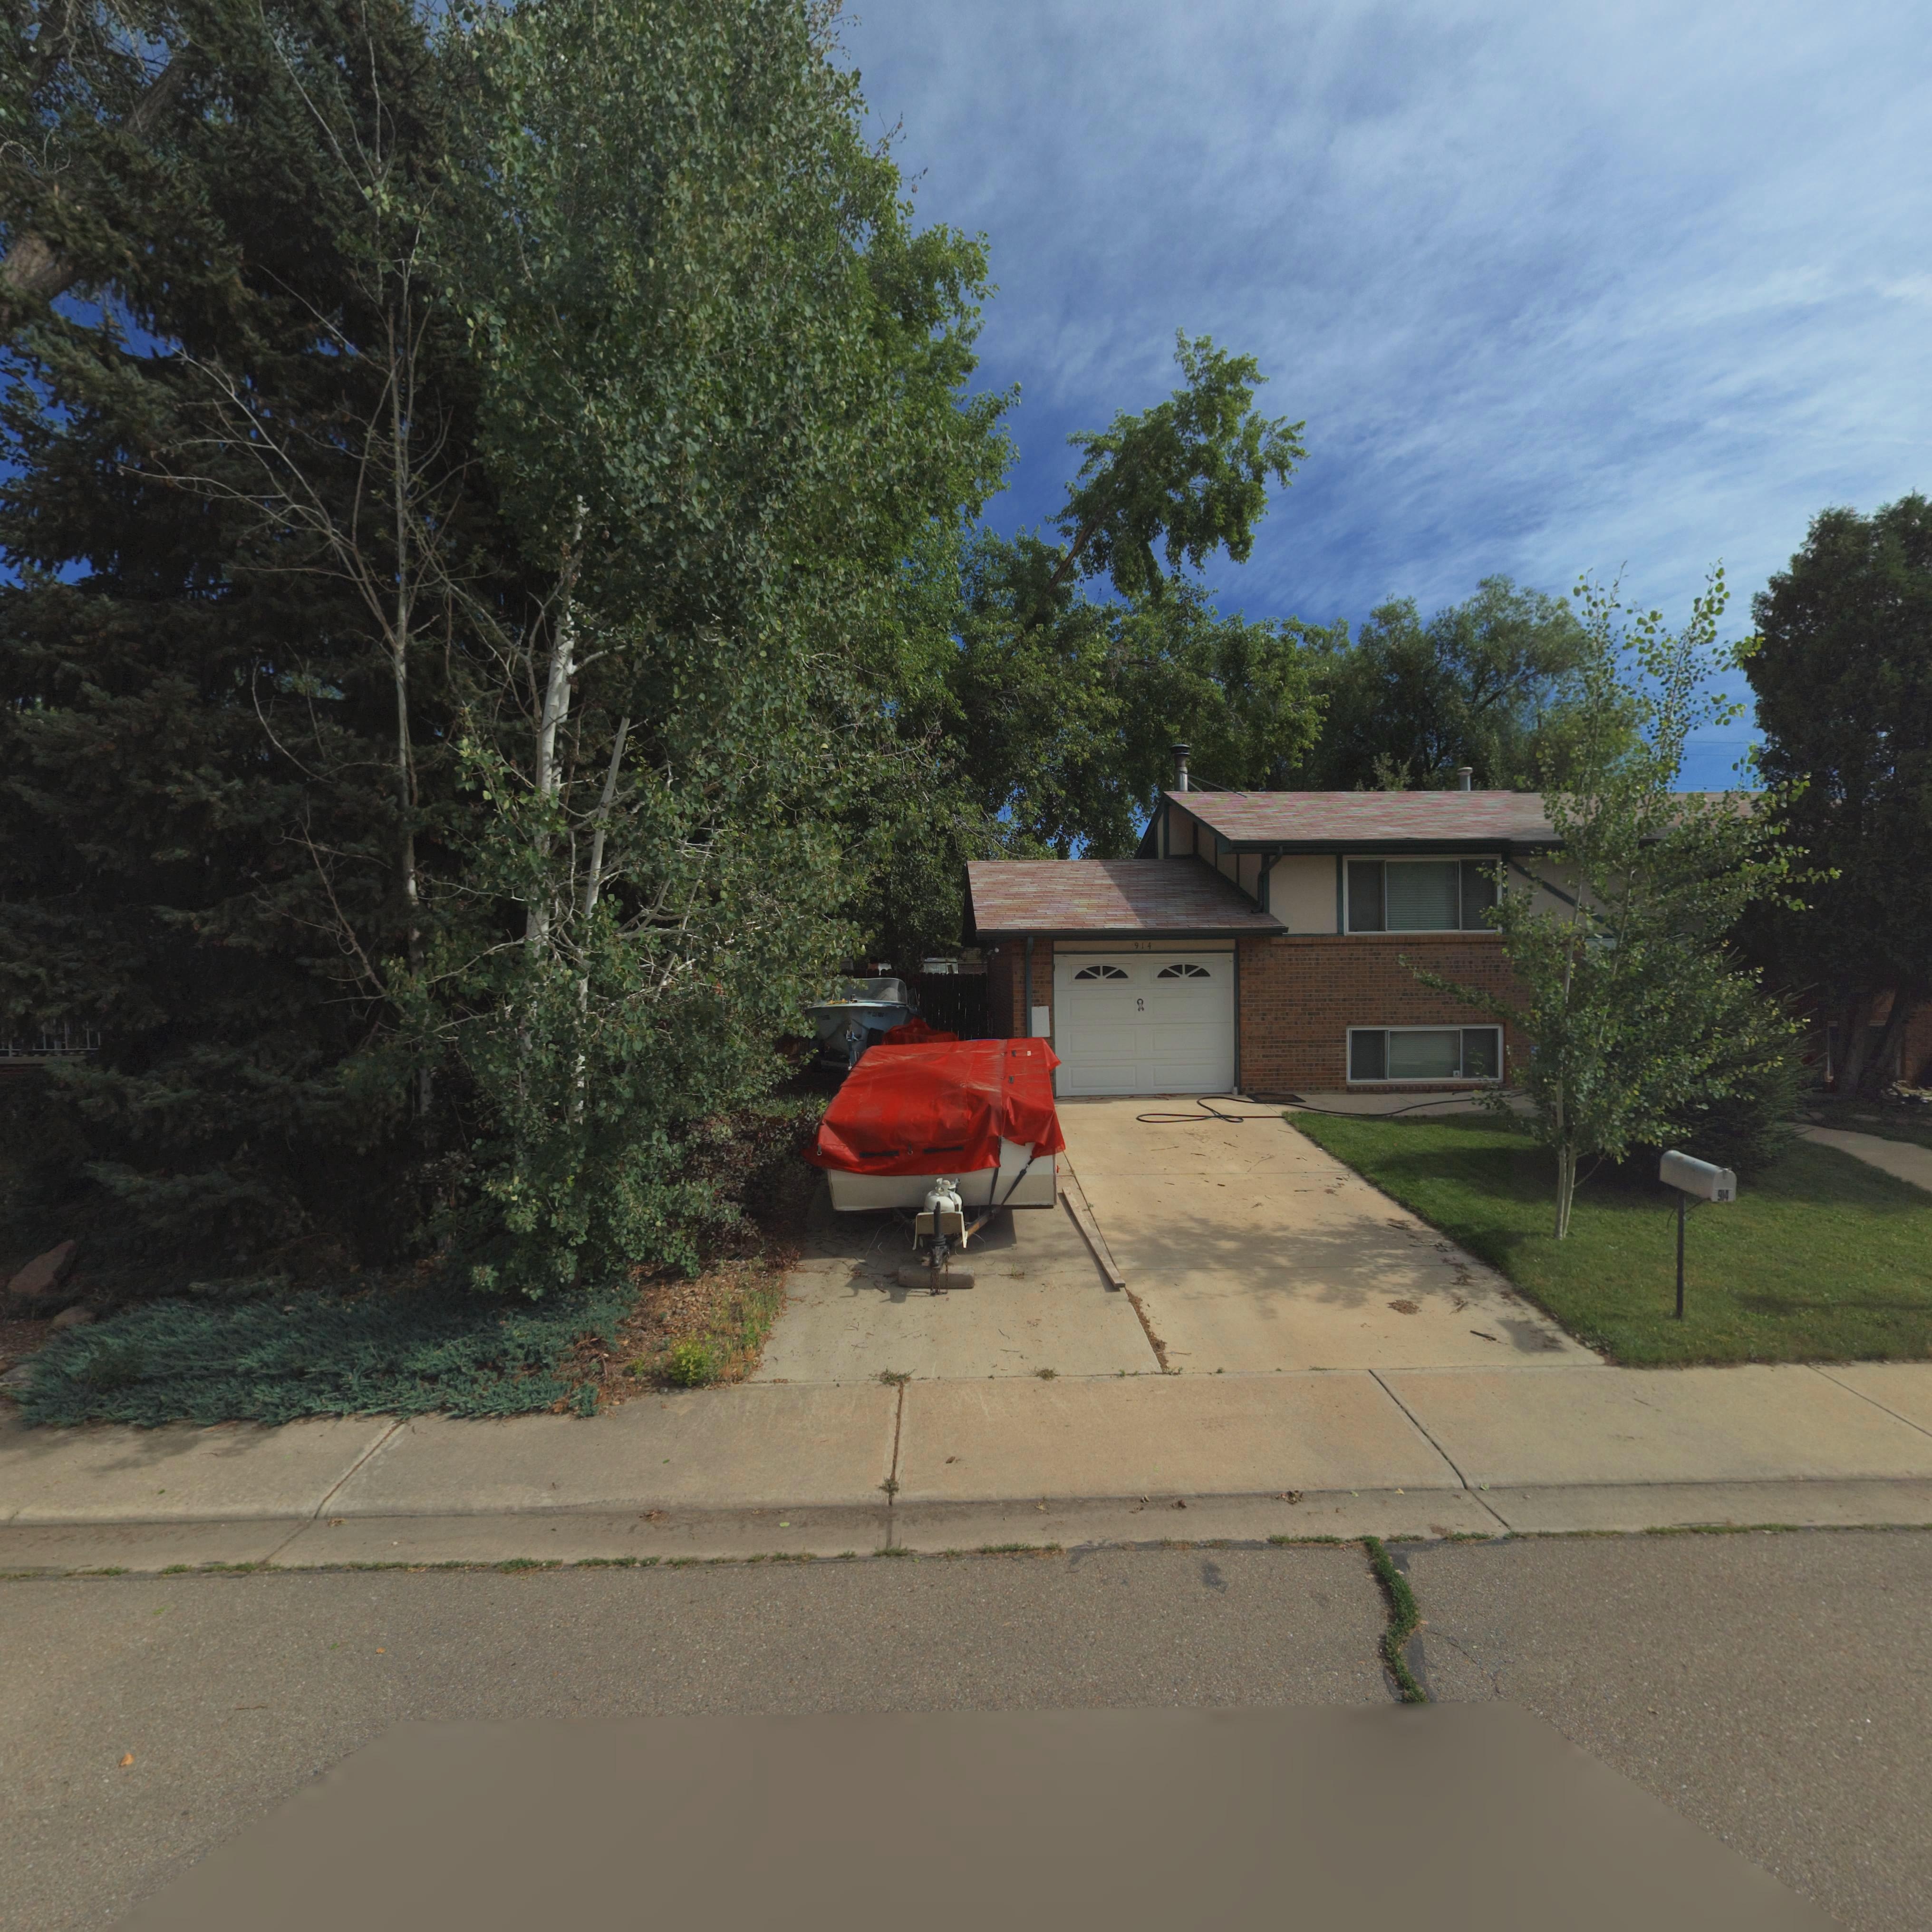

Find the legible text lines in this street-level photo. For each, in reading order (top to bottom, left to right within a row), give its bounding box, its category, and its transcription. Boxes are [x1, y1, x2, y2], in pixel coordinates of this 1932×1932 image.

[1134, 941, 1151, 950] StreetNumber: 914
[1717, 1189, 1729, 1201] StreetNumber: 914